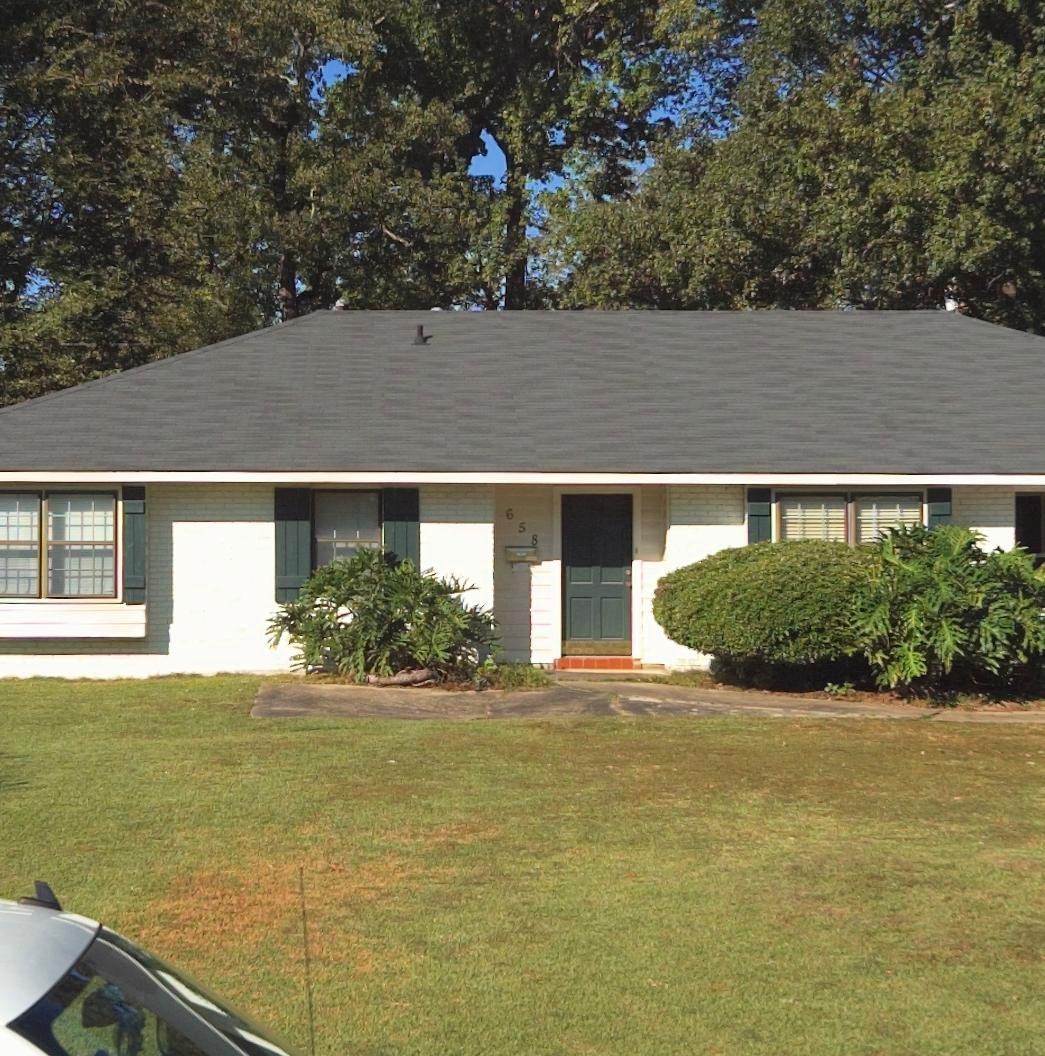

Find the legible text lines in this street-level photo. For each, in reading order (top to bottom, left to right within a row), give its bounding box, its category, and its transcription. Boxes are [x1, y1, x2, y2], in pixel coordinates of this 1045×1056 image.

[504, 506, 541, 549] StreetNumber: 658